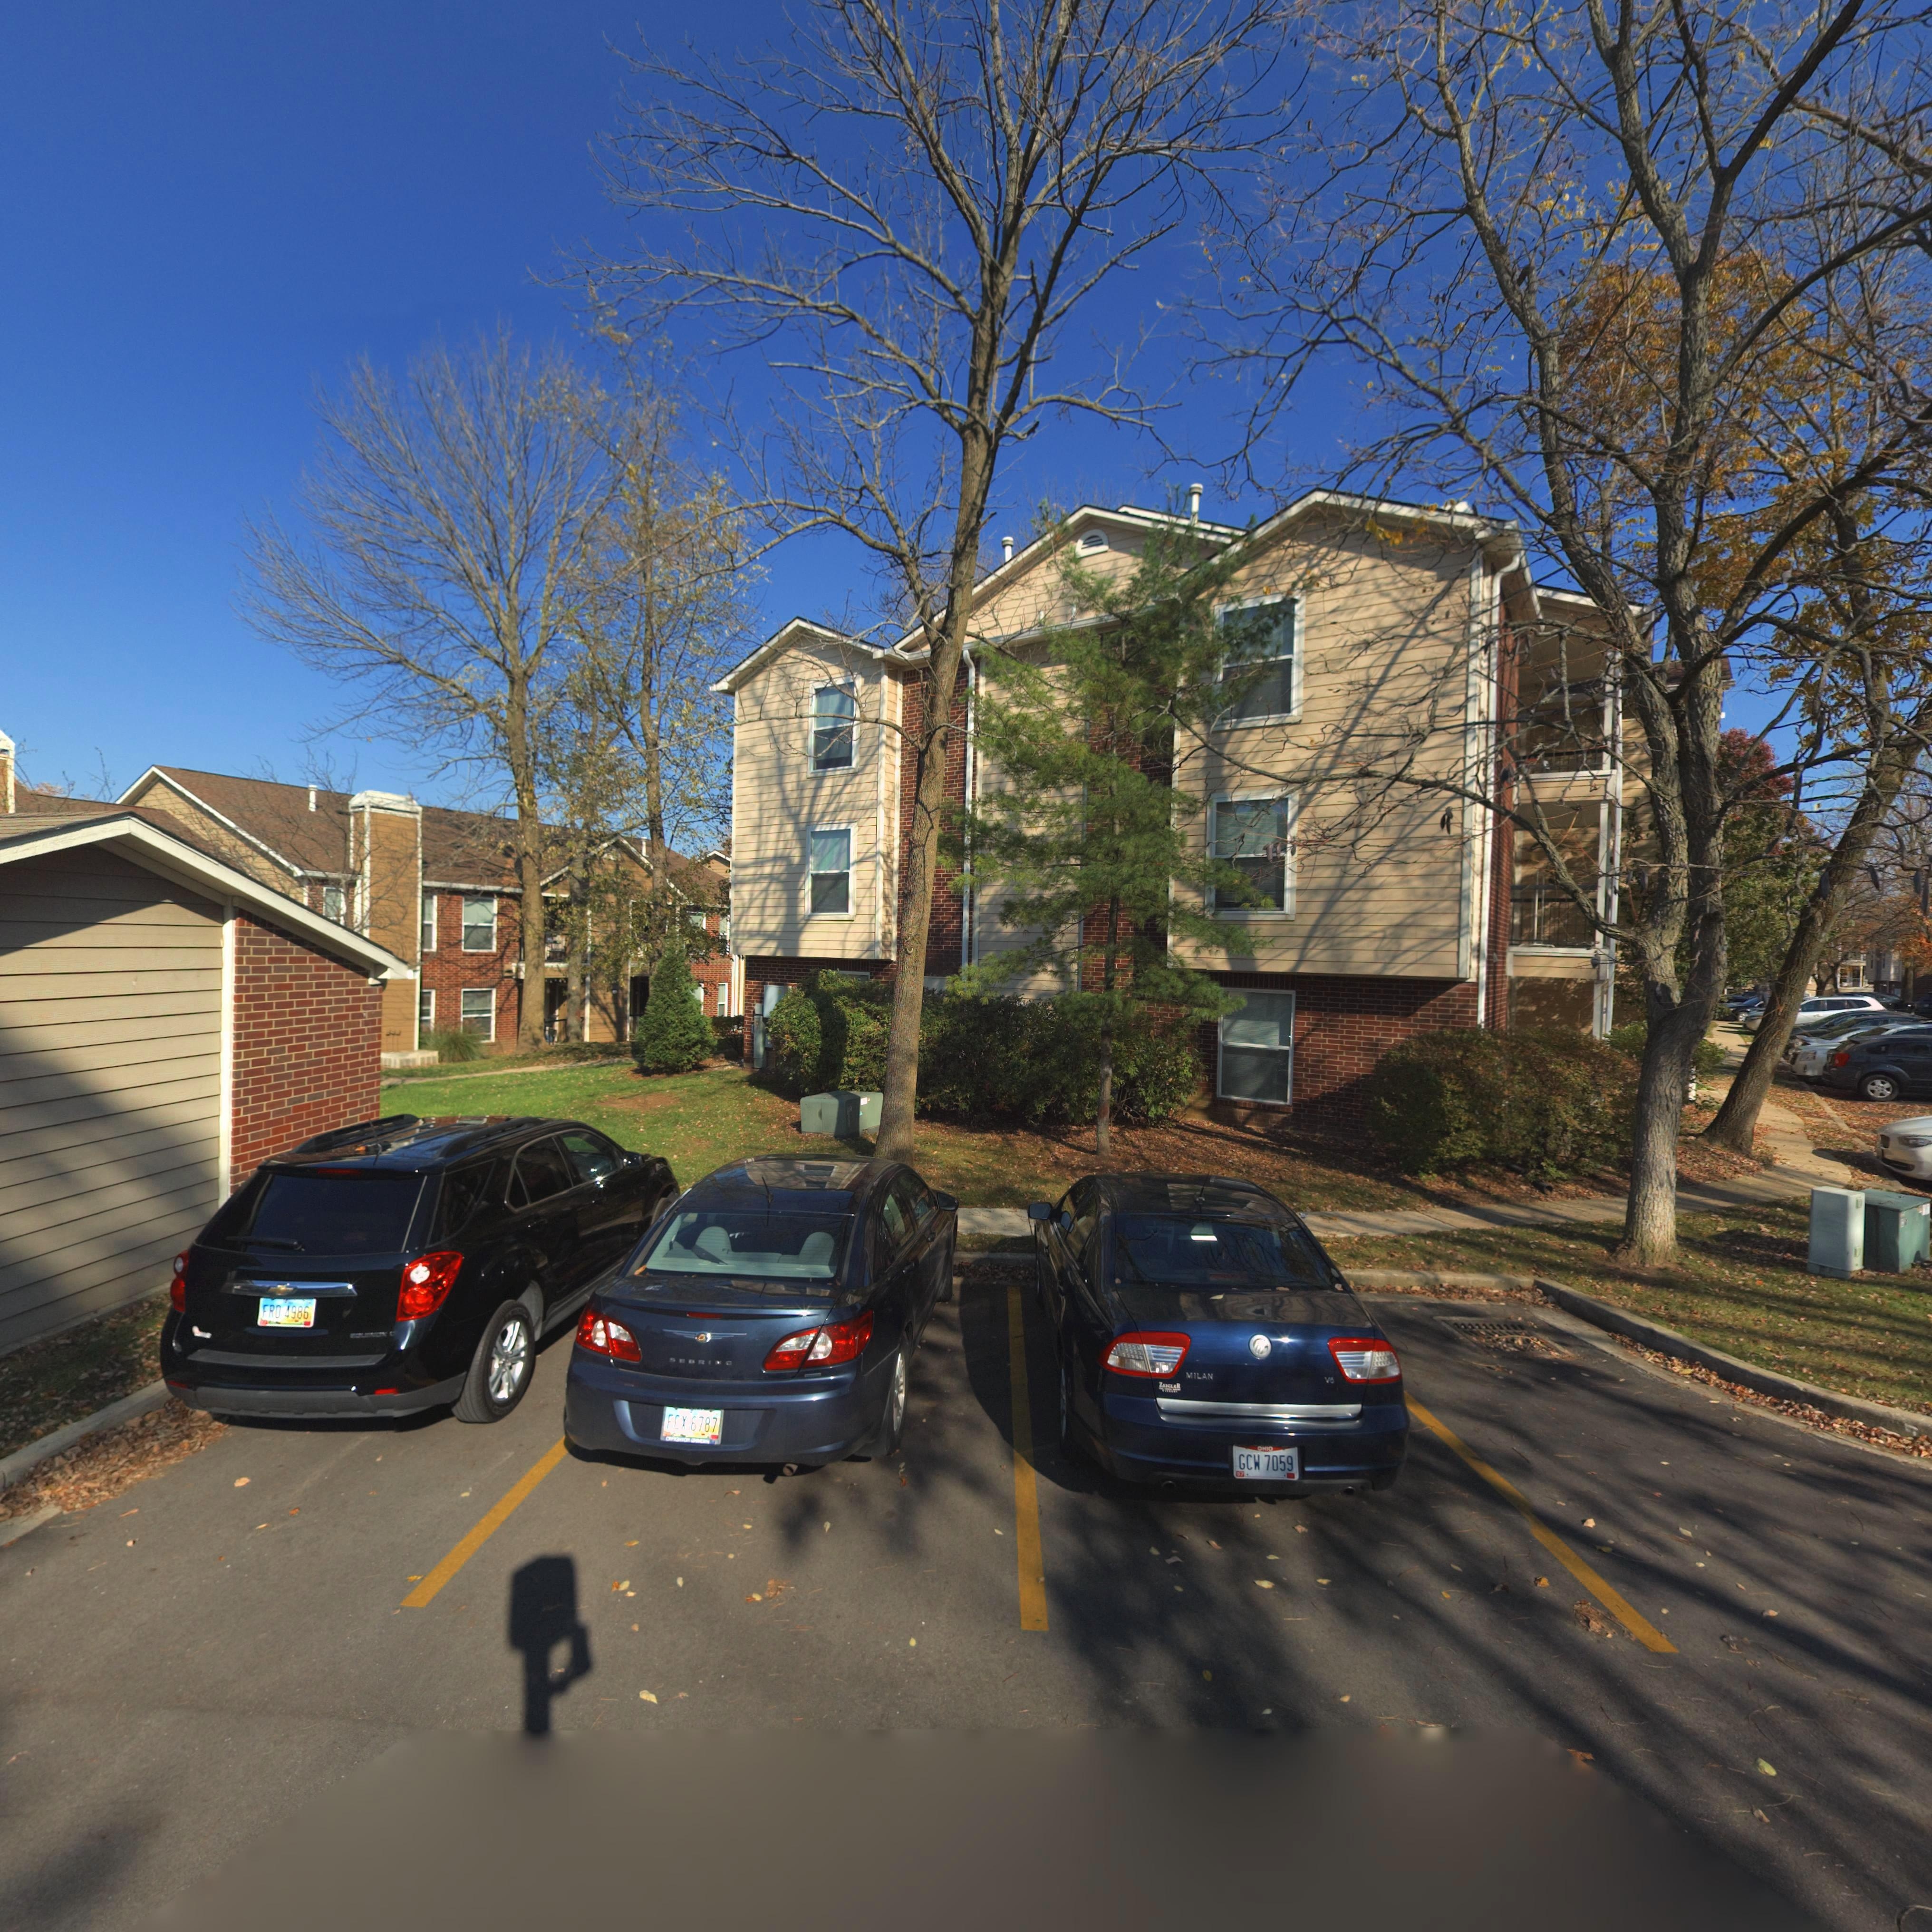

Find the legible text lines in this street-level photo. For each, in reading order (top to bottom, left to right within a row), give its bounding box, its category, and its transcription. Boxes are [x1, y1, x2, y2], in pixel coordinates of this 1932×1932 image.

[261, 1303, 311, 1321] None: FRO 4986
[1185, 1371, 1214, 1381] None: MILAN
[1322, 1375, 1336, 1385] None: V6
[666, 1412, 719, 1434] None: FCX 6787
[1256, 1445, 1274, 1452] None: OHIO
[1237, 1453, 1294, 1472] None: GCW 7059
[1236, 1471, 1244, 1478] None: *7